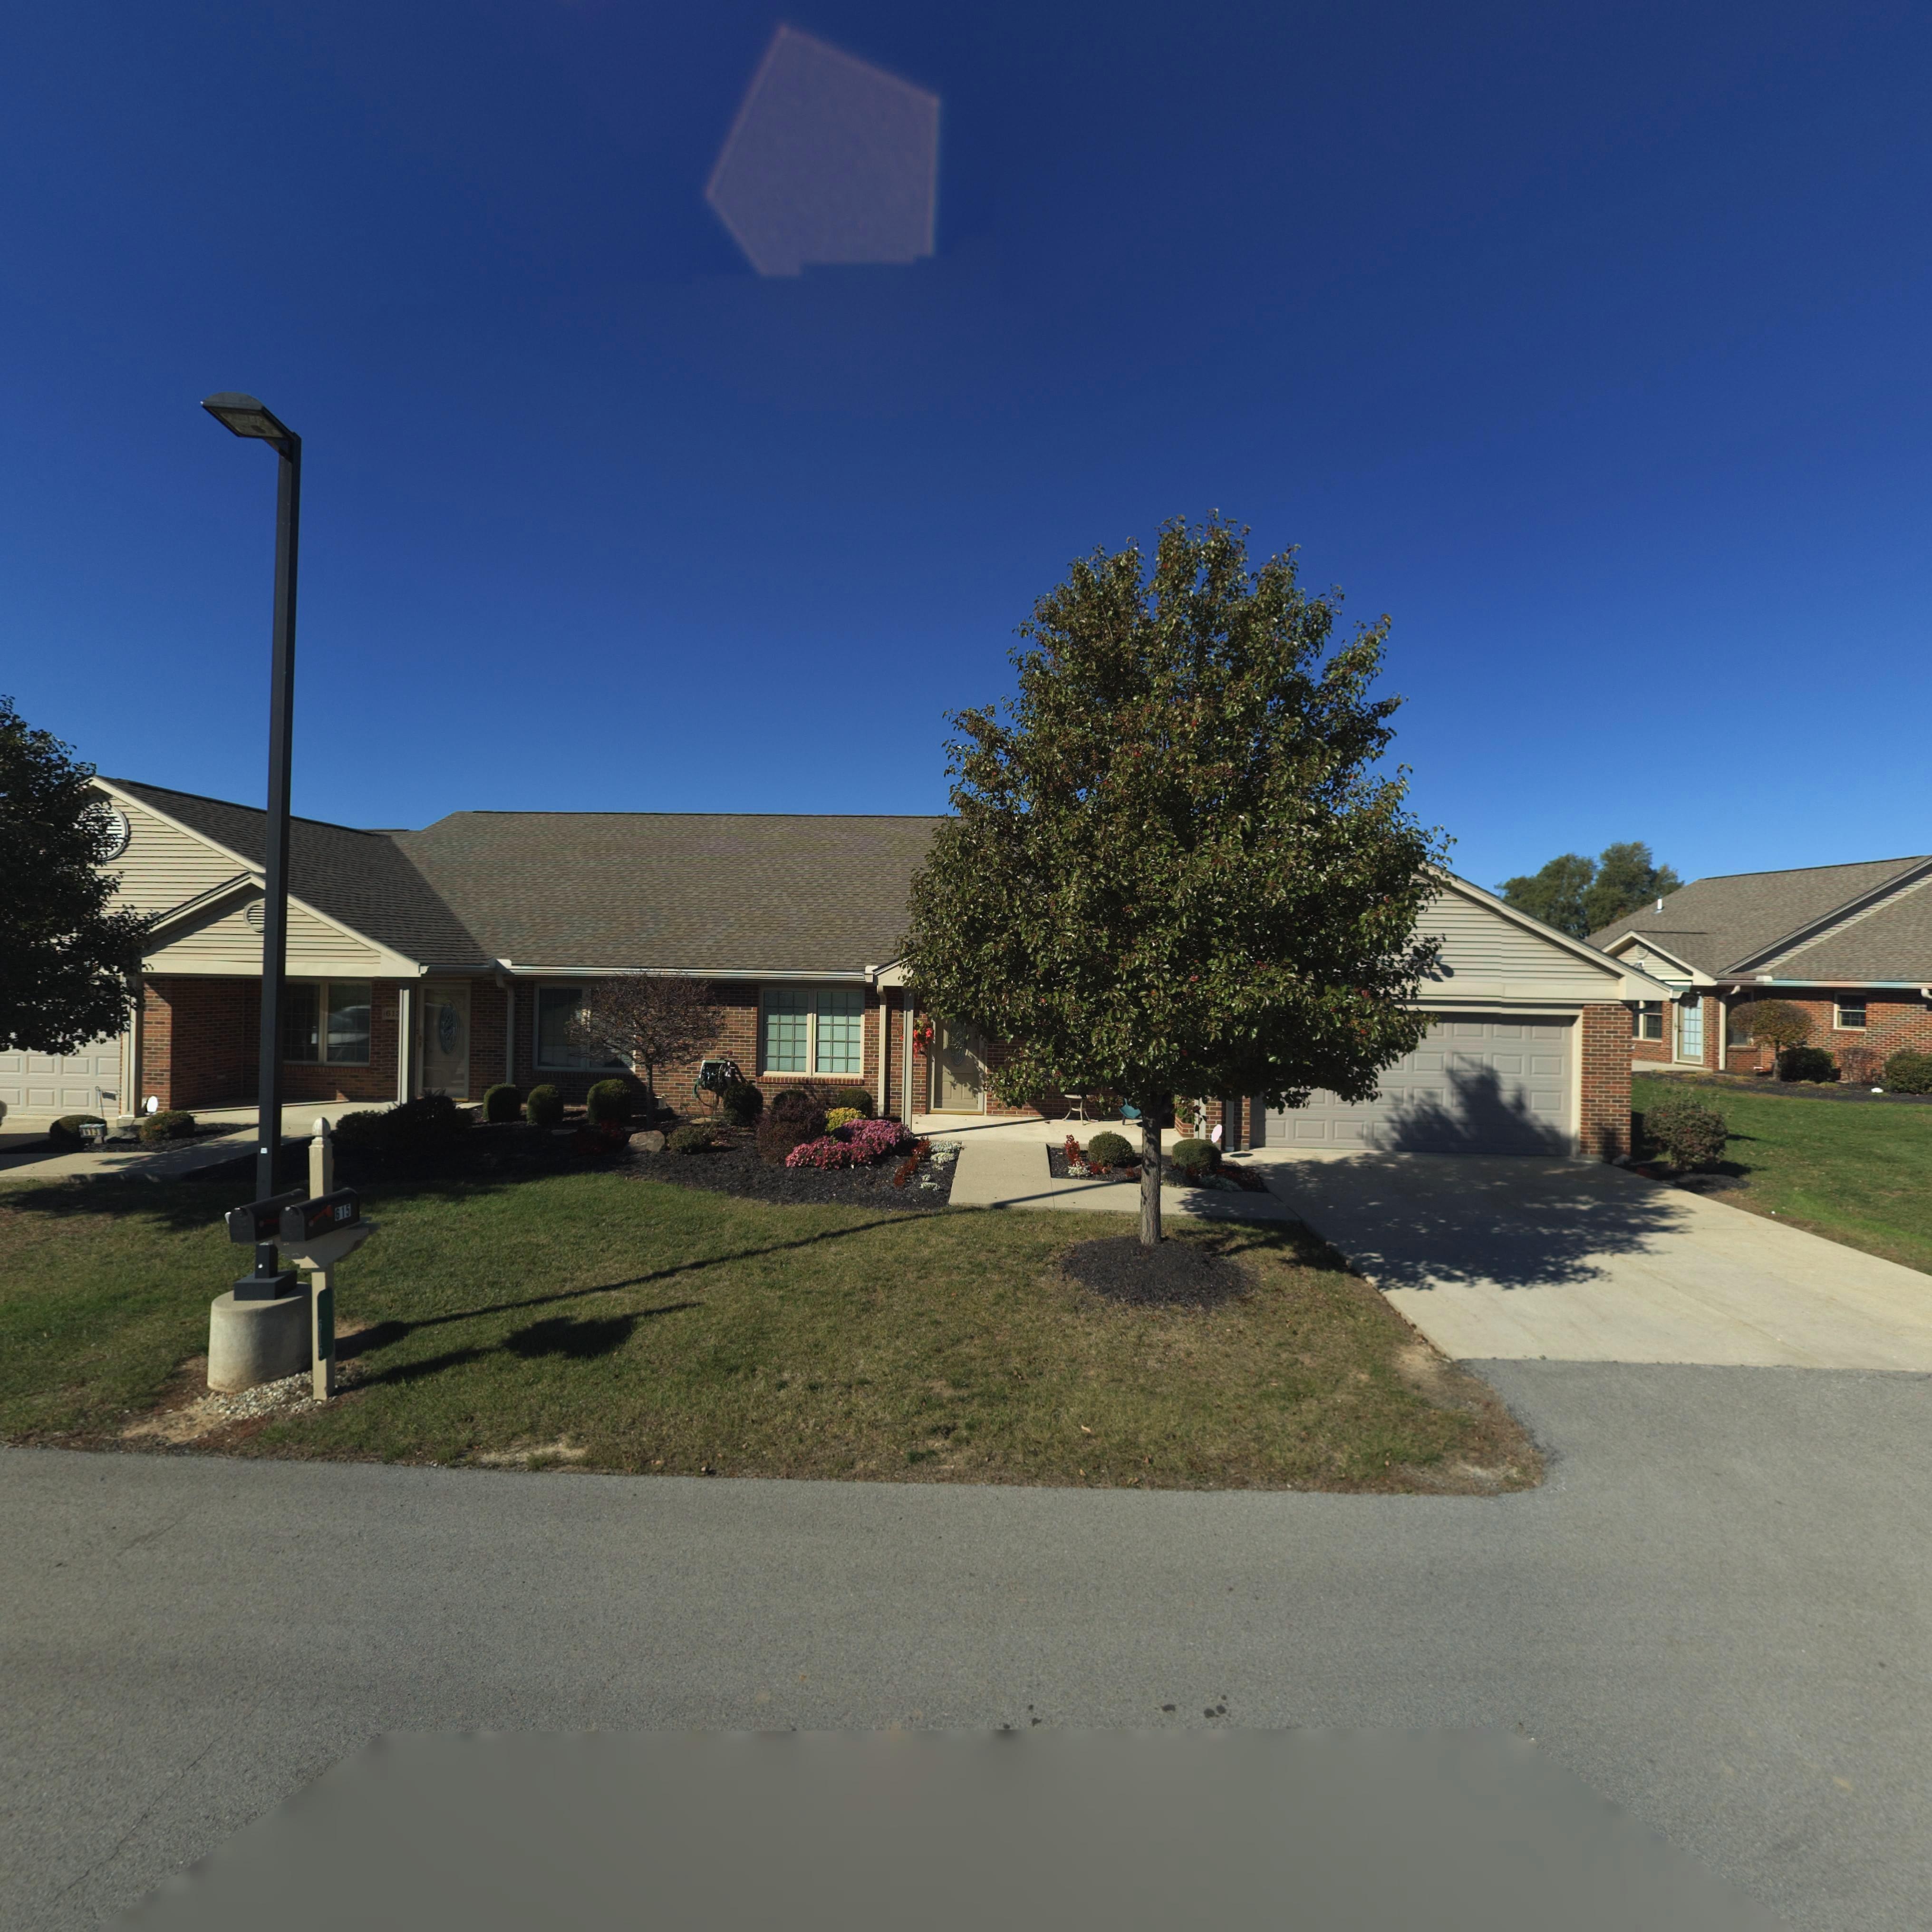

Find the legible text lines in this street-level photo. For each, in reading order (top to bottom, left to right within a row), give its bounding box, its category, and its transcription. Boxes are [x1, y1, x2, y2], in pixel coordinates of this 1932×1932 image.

[386, 1010, 396, 1017] StreetNumber: 61
[84, 1128, 99, 1135] StreetNumber: 613
[335, 1204, 350, 1221] StreetNumber: 615
[318, 1317, 323, 1358] StreetNumber: 615